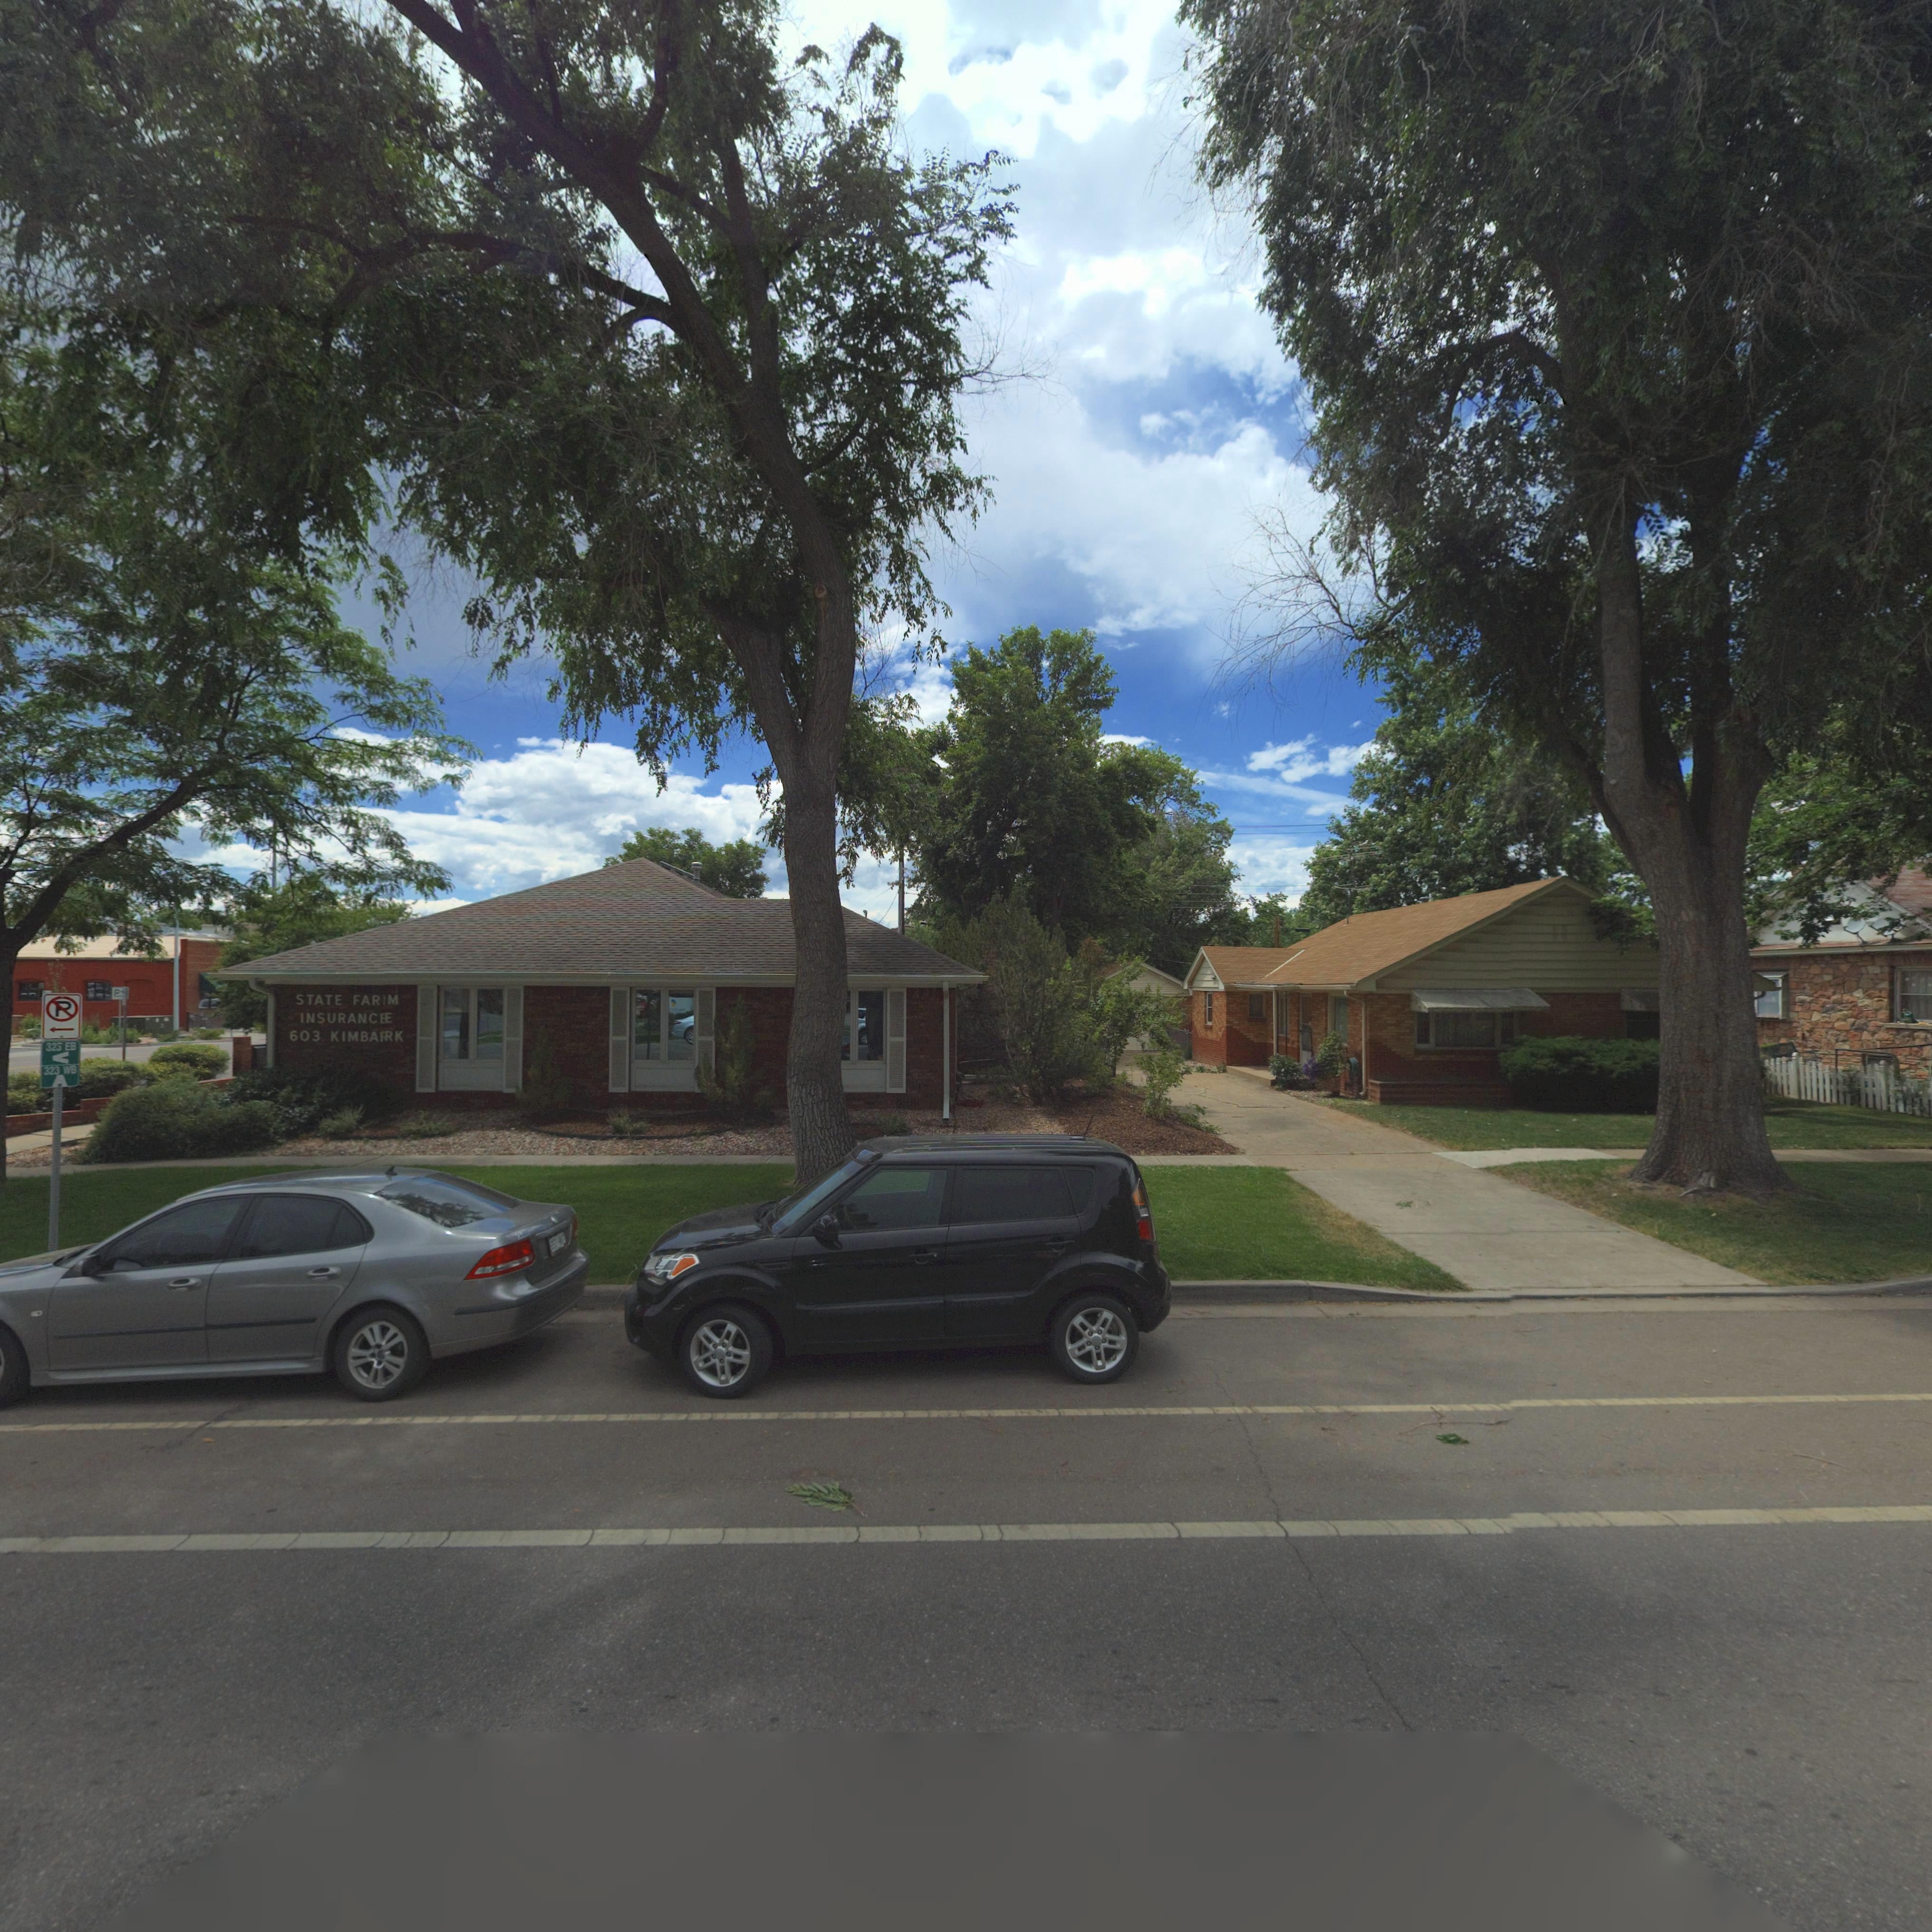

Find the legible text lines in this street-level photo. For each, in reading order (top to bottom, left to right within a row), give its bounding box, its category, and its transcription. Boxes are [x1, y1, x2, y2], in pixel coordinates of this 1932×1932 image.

[295, 993, 399, 1006] BusinessName: STATE FARM
[299, 1011, 392, 1024] BusinessName: INSURANCE
[289, 1029, 320, 1043] StreetNumber: 603
[329, 1030, 404, 1043] StreetName: KIMBARK